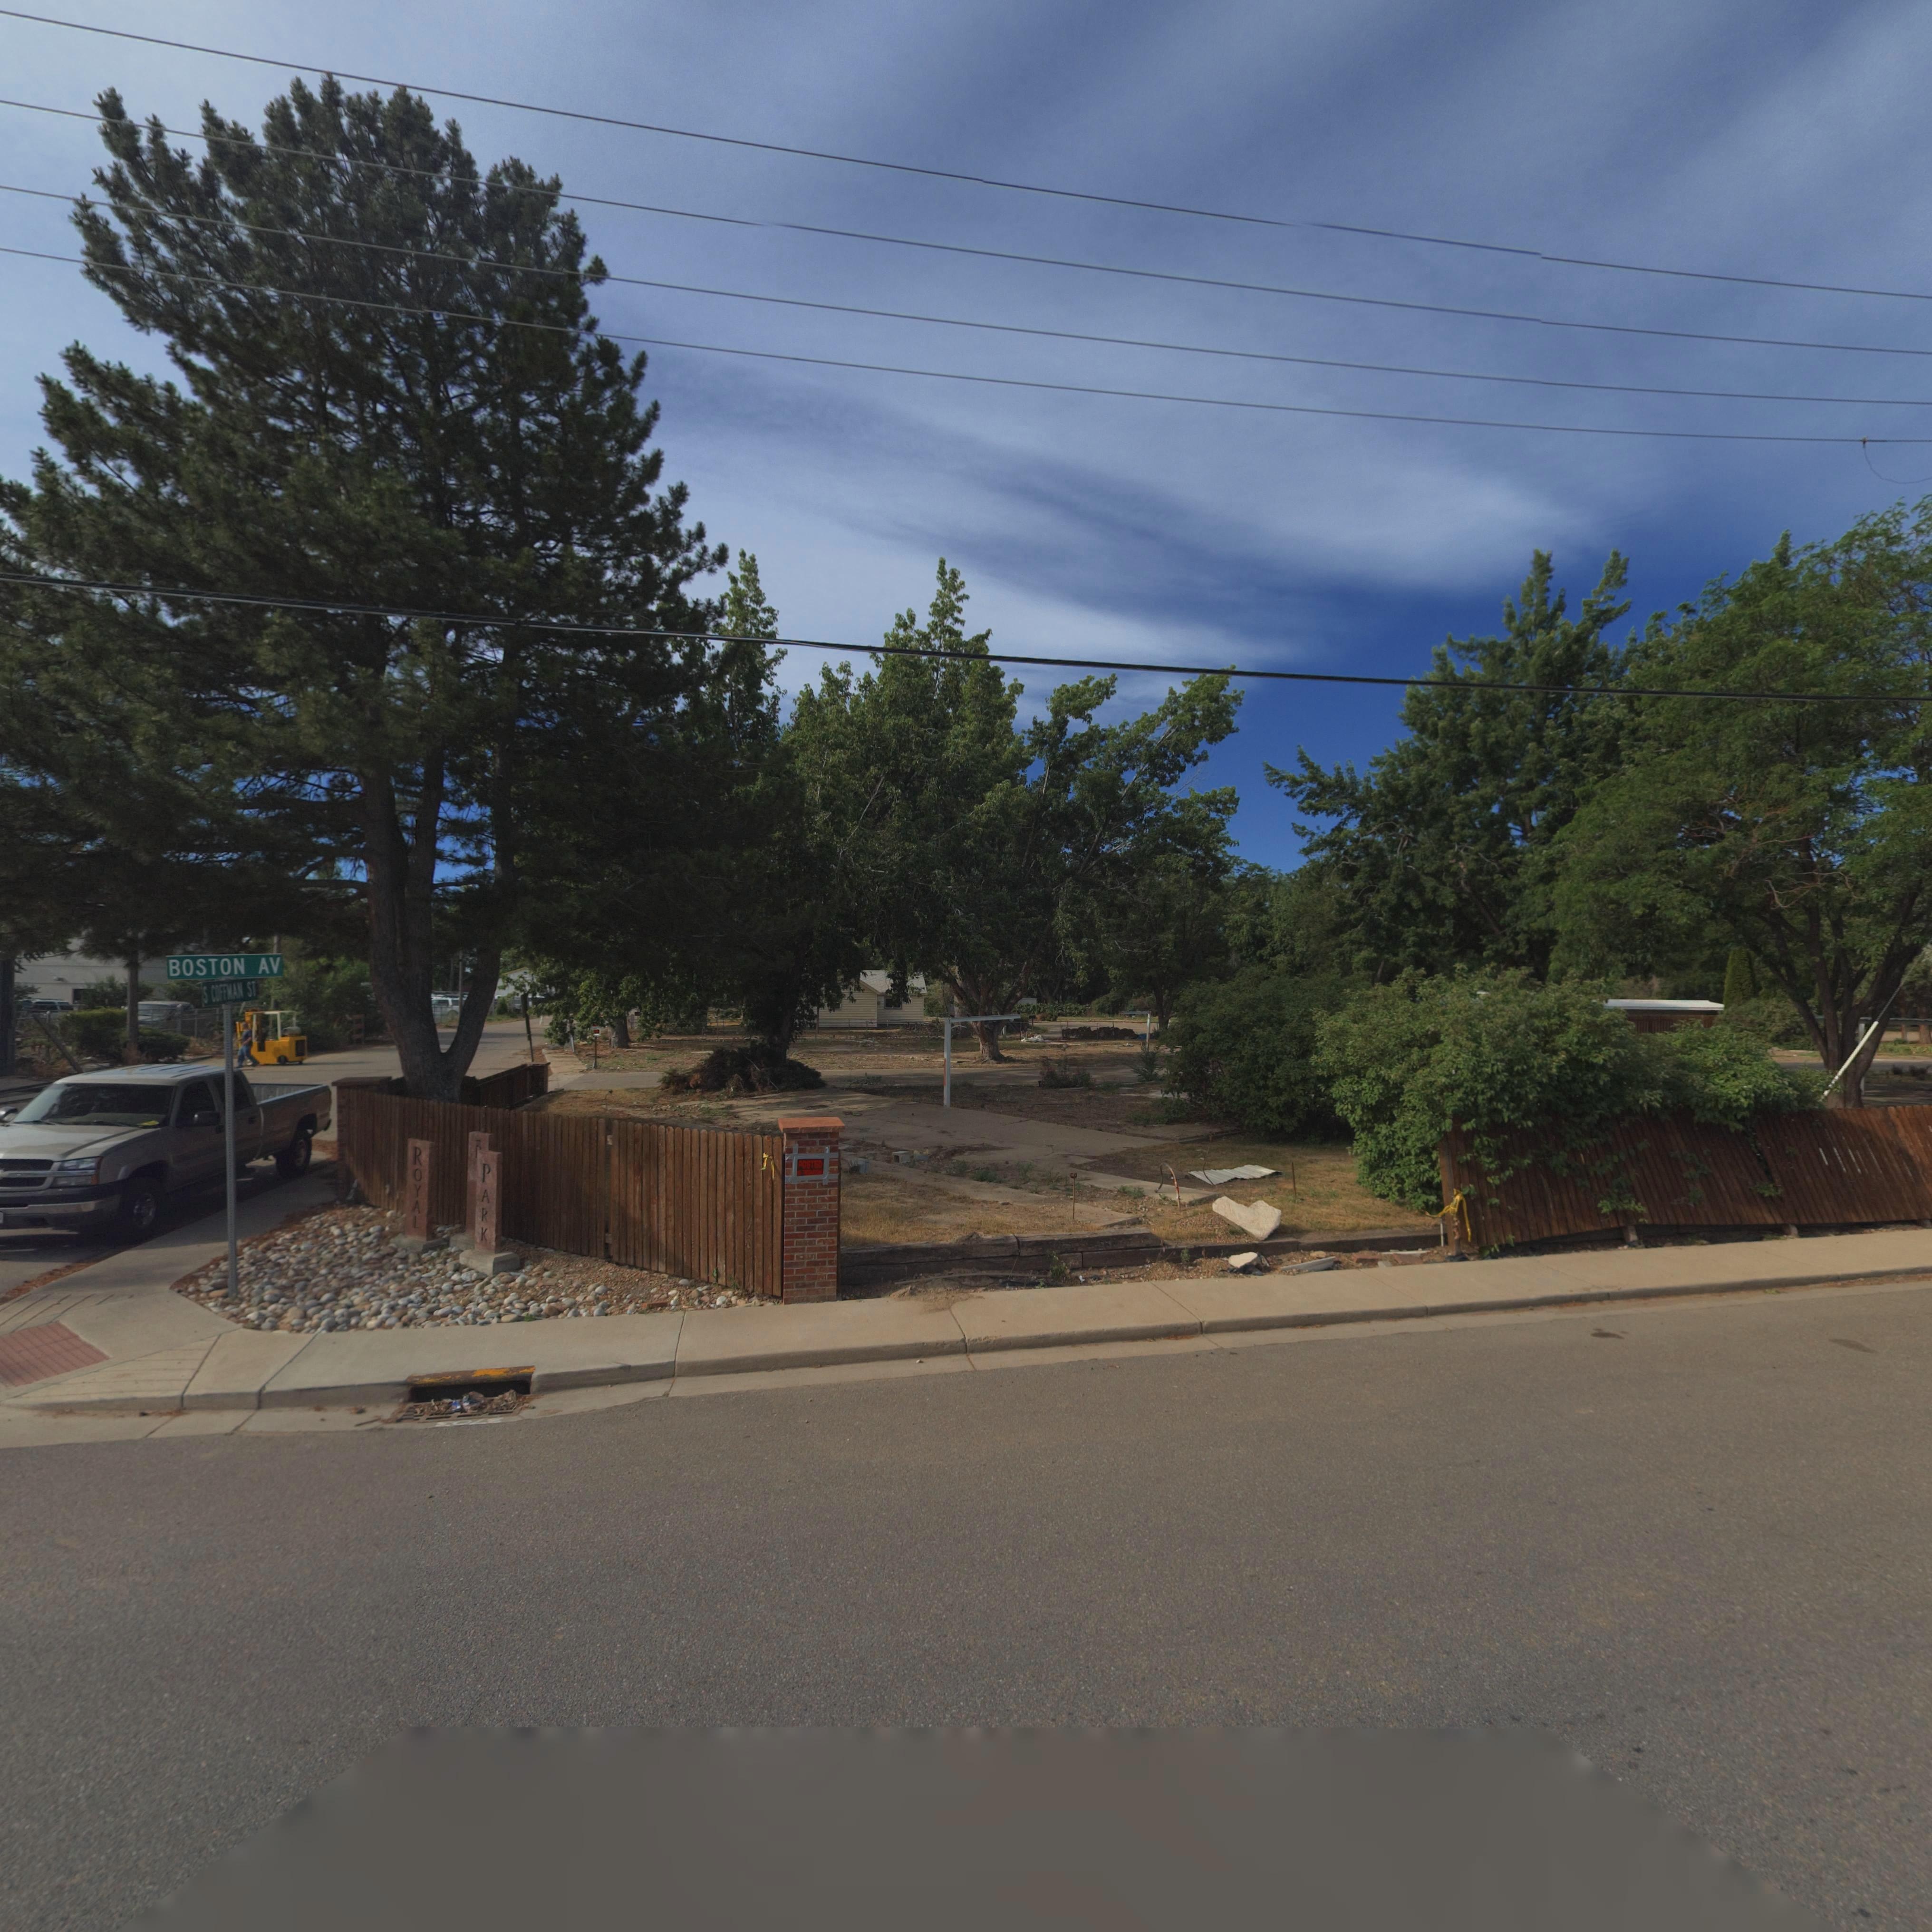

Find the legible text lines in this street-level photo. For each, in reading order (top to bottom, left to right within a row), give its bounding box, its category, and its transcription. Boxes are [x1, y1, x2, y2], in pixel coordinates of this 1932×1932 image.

[168, 955, 281, 977] StreetName: BOSTON AV
[202, 980, 257, 1005] StreetName: S COFFMAN ST